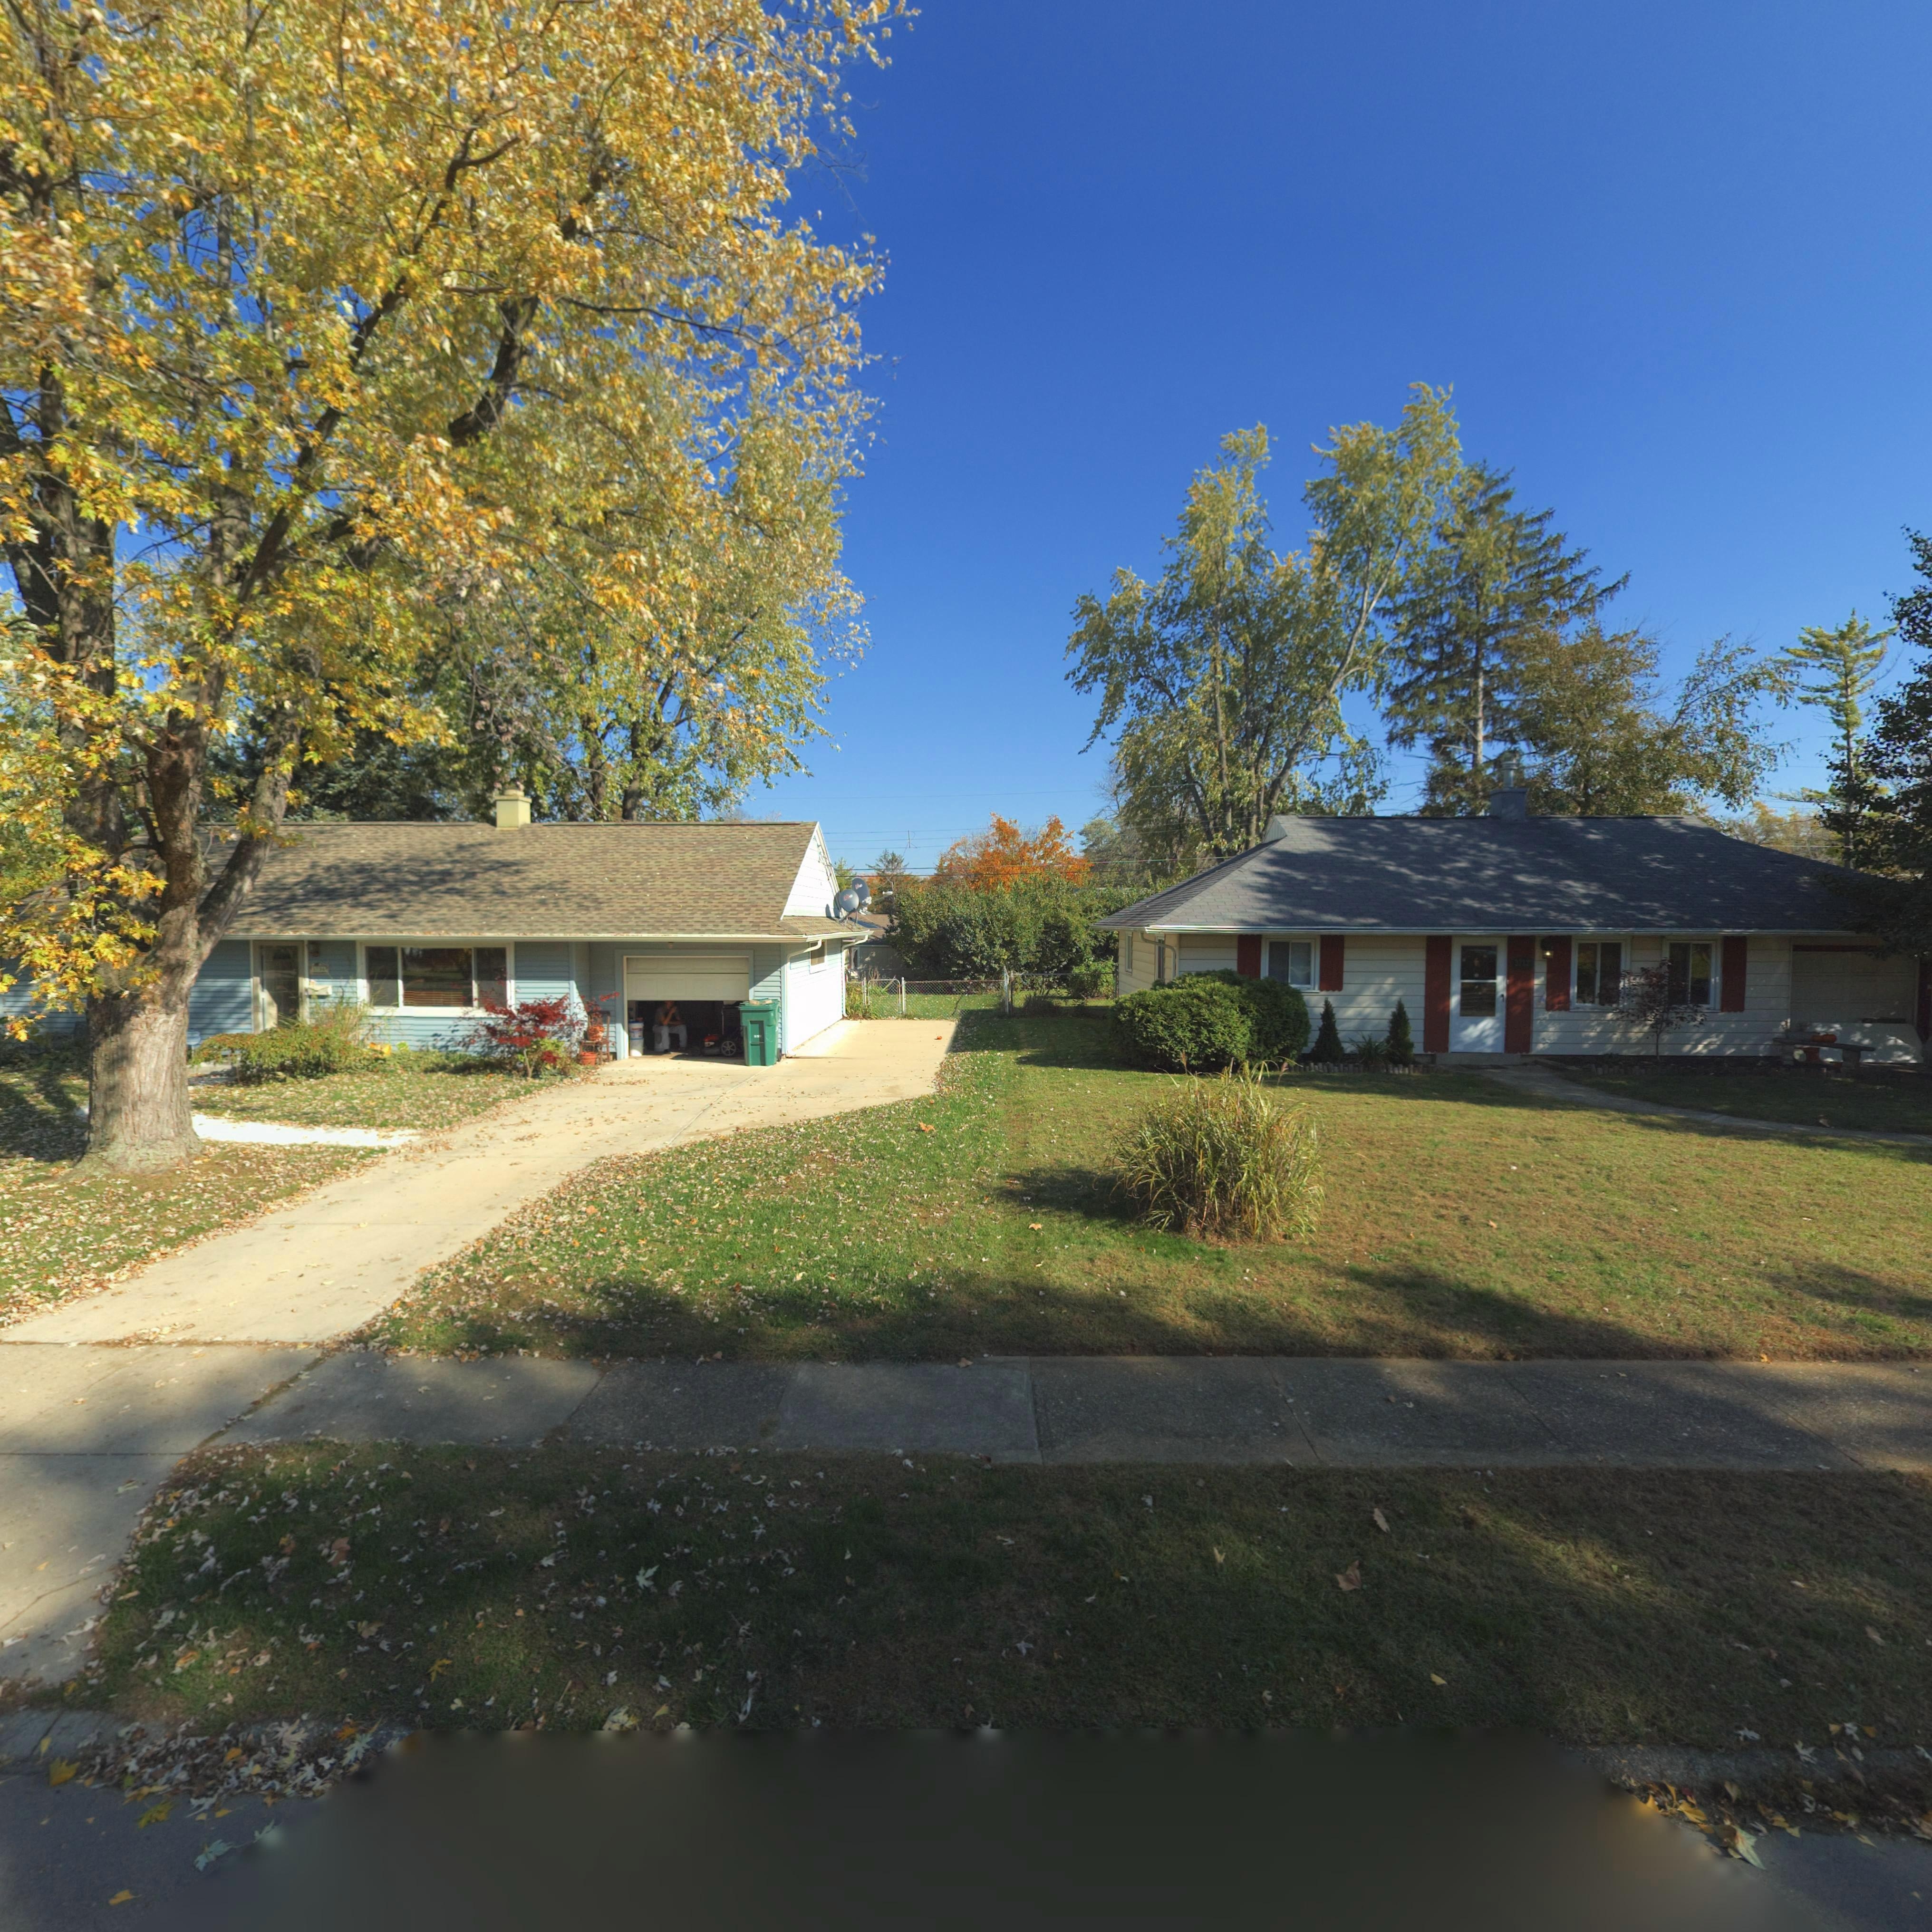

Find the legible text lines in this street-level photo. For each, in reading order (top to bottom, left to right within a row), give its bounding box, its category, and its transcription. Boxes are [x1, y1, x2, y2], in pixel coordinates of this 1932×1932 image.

[1514, 958, 1530, 966] StreetNumber: 3712
[311, 966, 326, 973] StreetNumber: 3708